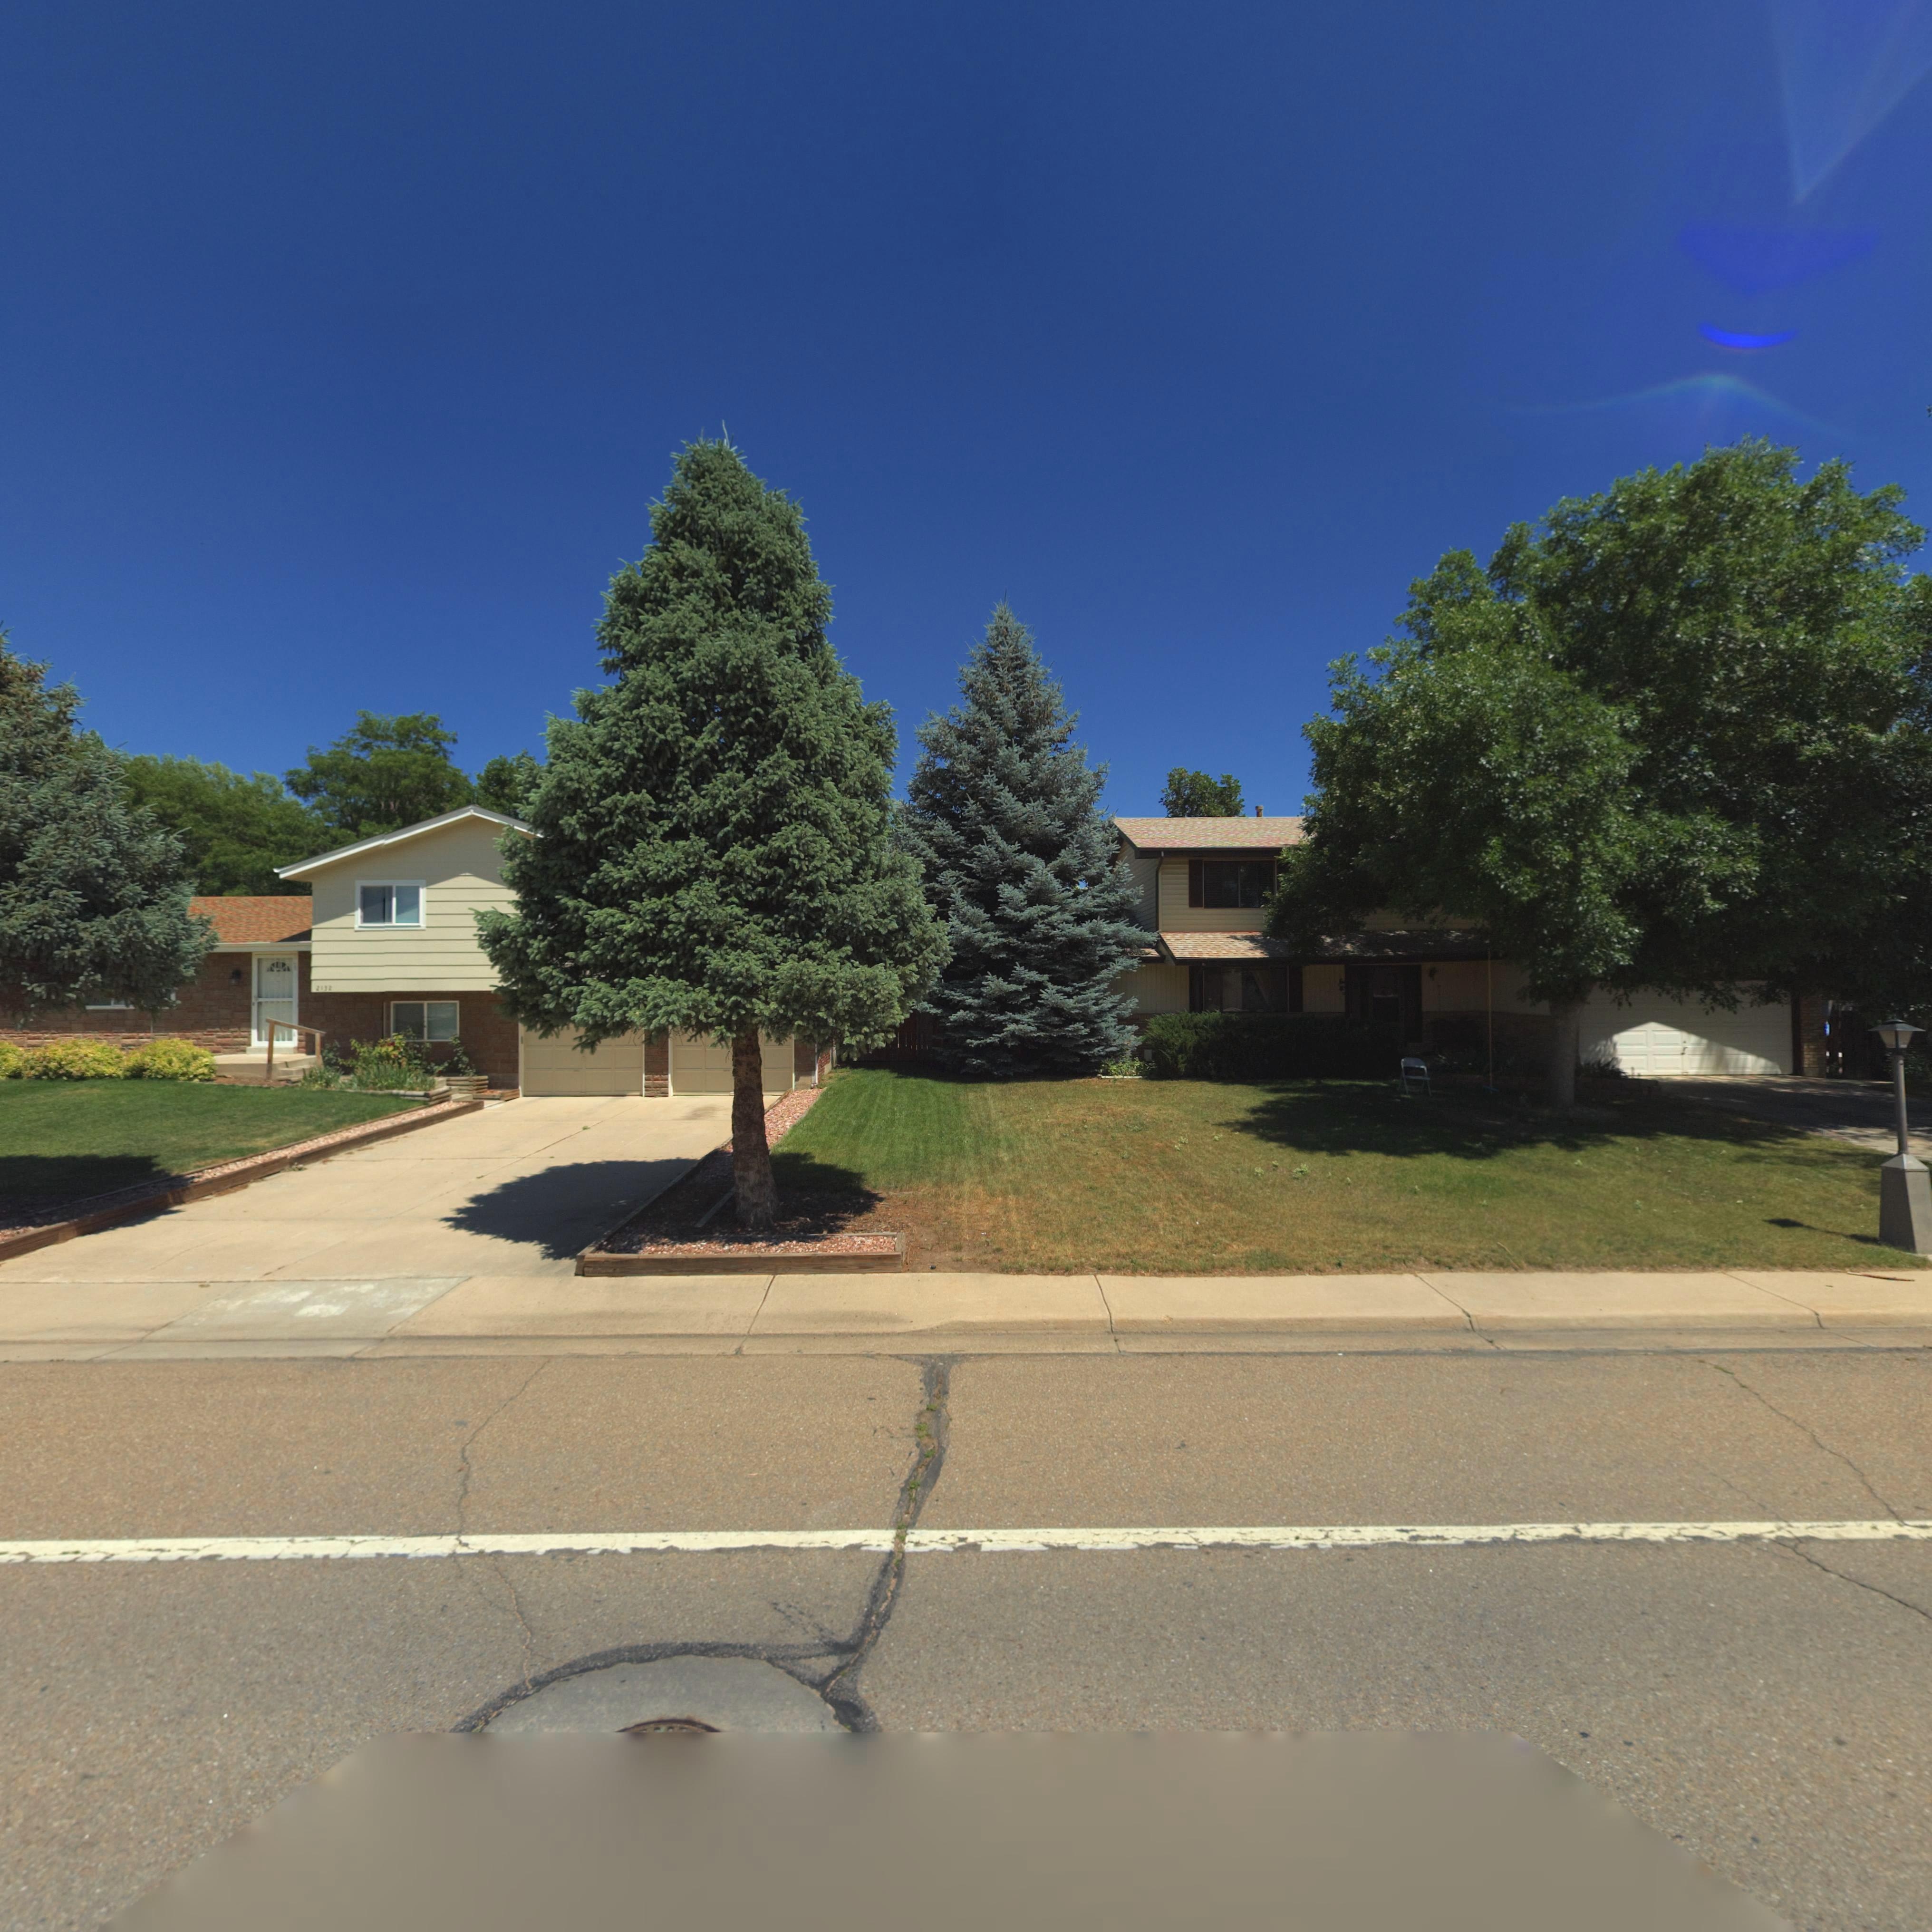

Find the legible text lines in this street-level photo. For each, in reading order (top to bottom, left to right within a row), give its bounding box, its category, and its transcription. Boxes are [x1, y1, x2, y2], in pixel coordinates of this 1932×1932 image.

[316, 983, 333, 993] StreetNumber: 2132